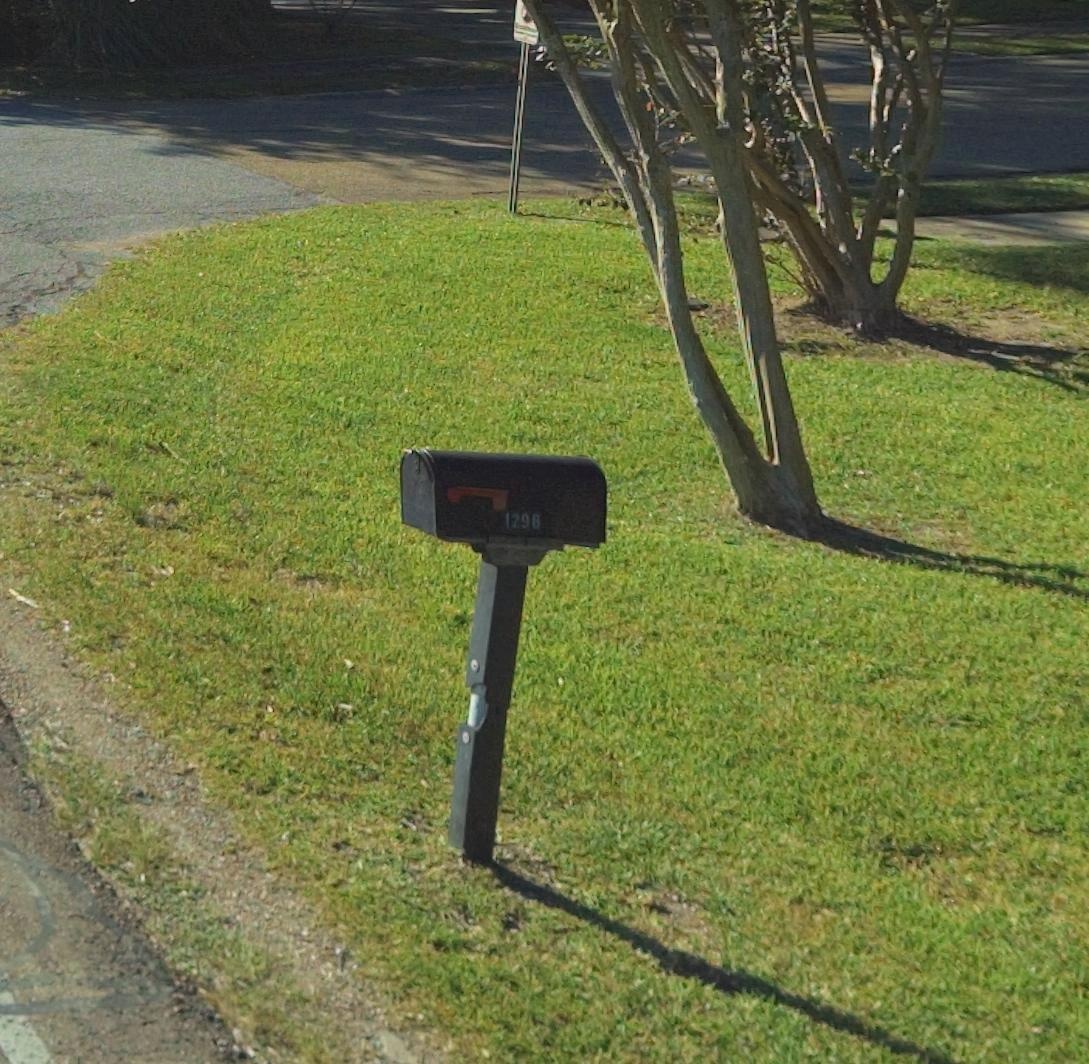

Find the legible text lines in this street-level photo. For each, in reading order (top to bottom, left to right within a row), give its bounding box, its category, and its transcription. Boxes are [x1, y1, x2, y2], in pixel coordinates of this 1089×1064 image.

[504, 510, 543, 532] StreetNumber: 1296